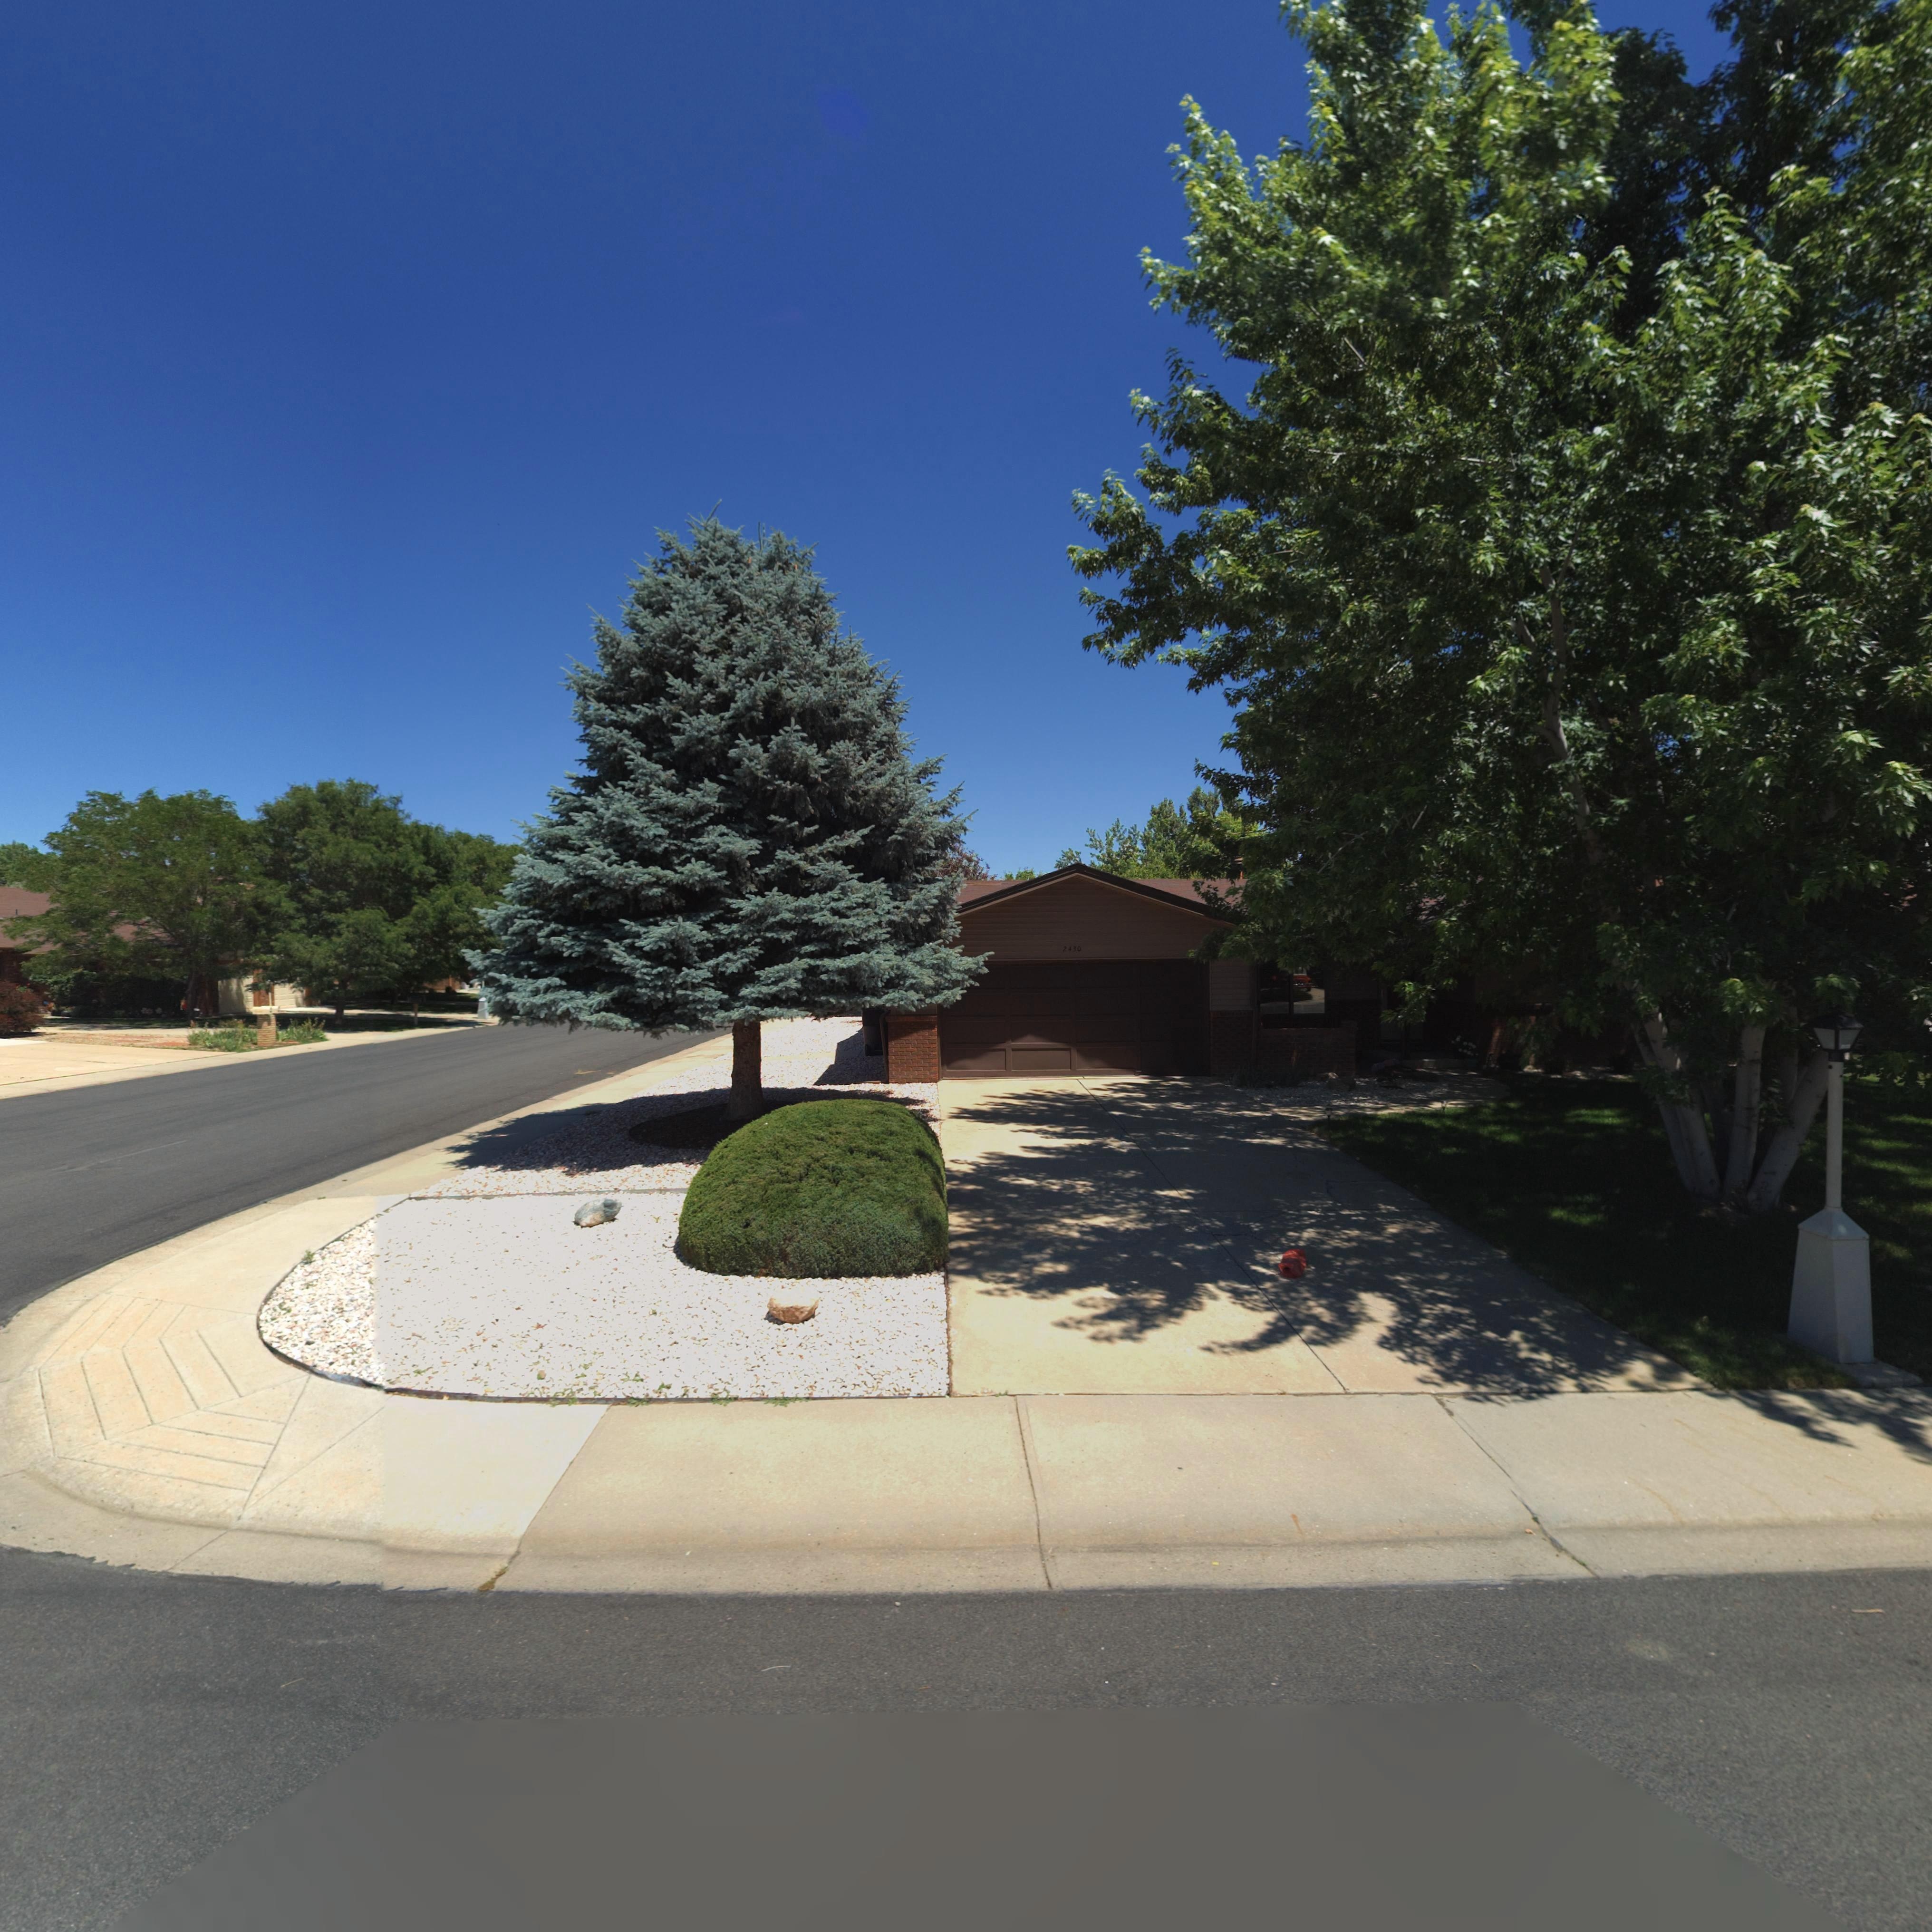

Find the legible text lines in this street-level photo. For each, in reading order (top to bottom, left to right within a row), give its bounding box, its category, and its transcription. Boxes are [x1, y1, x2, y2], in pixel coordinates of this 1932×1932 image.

[1062, 946, 1082, 952] StreetNumber: 2430